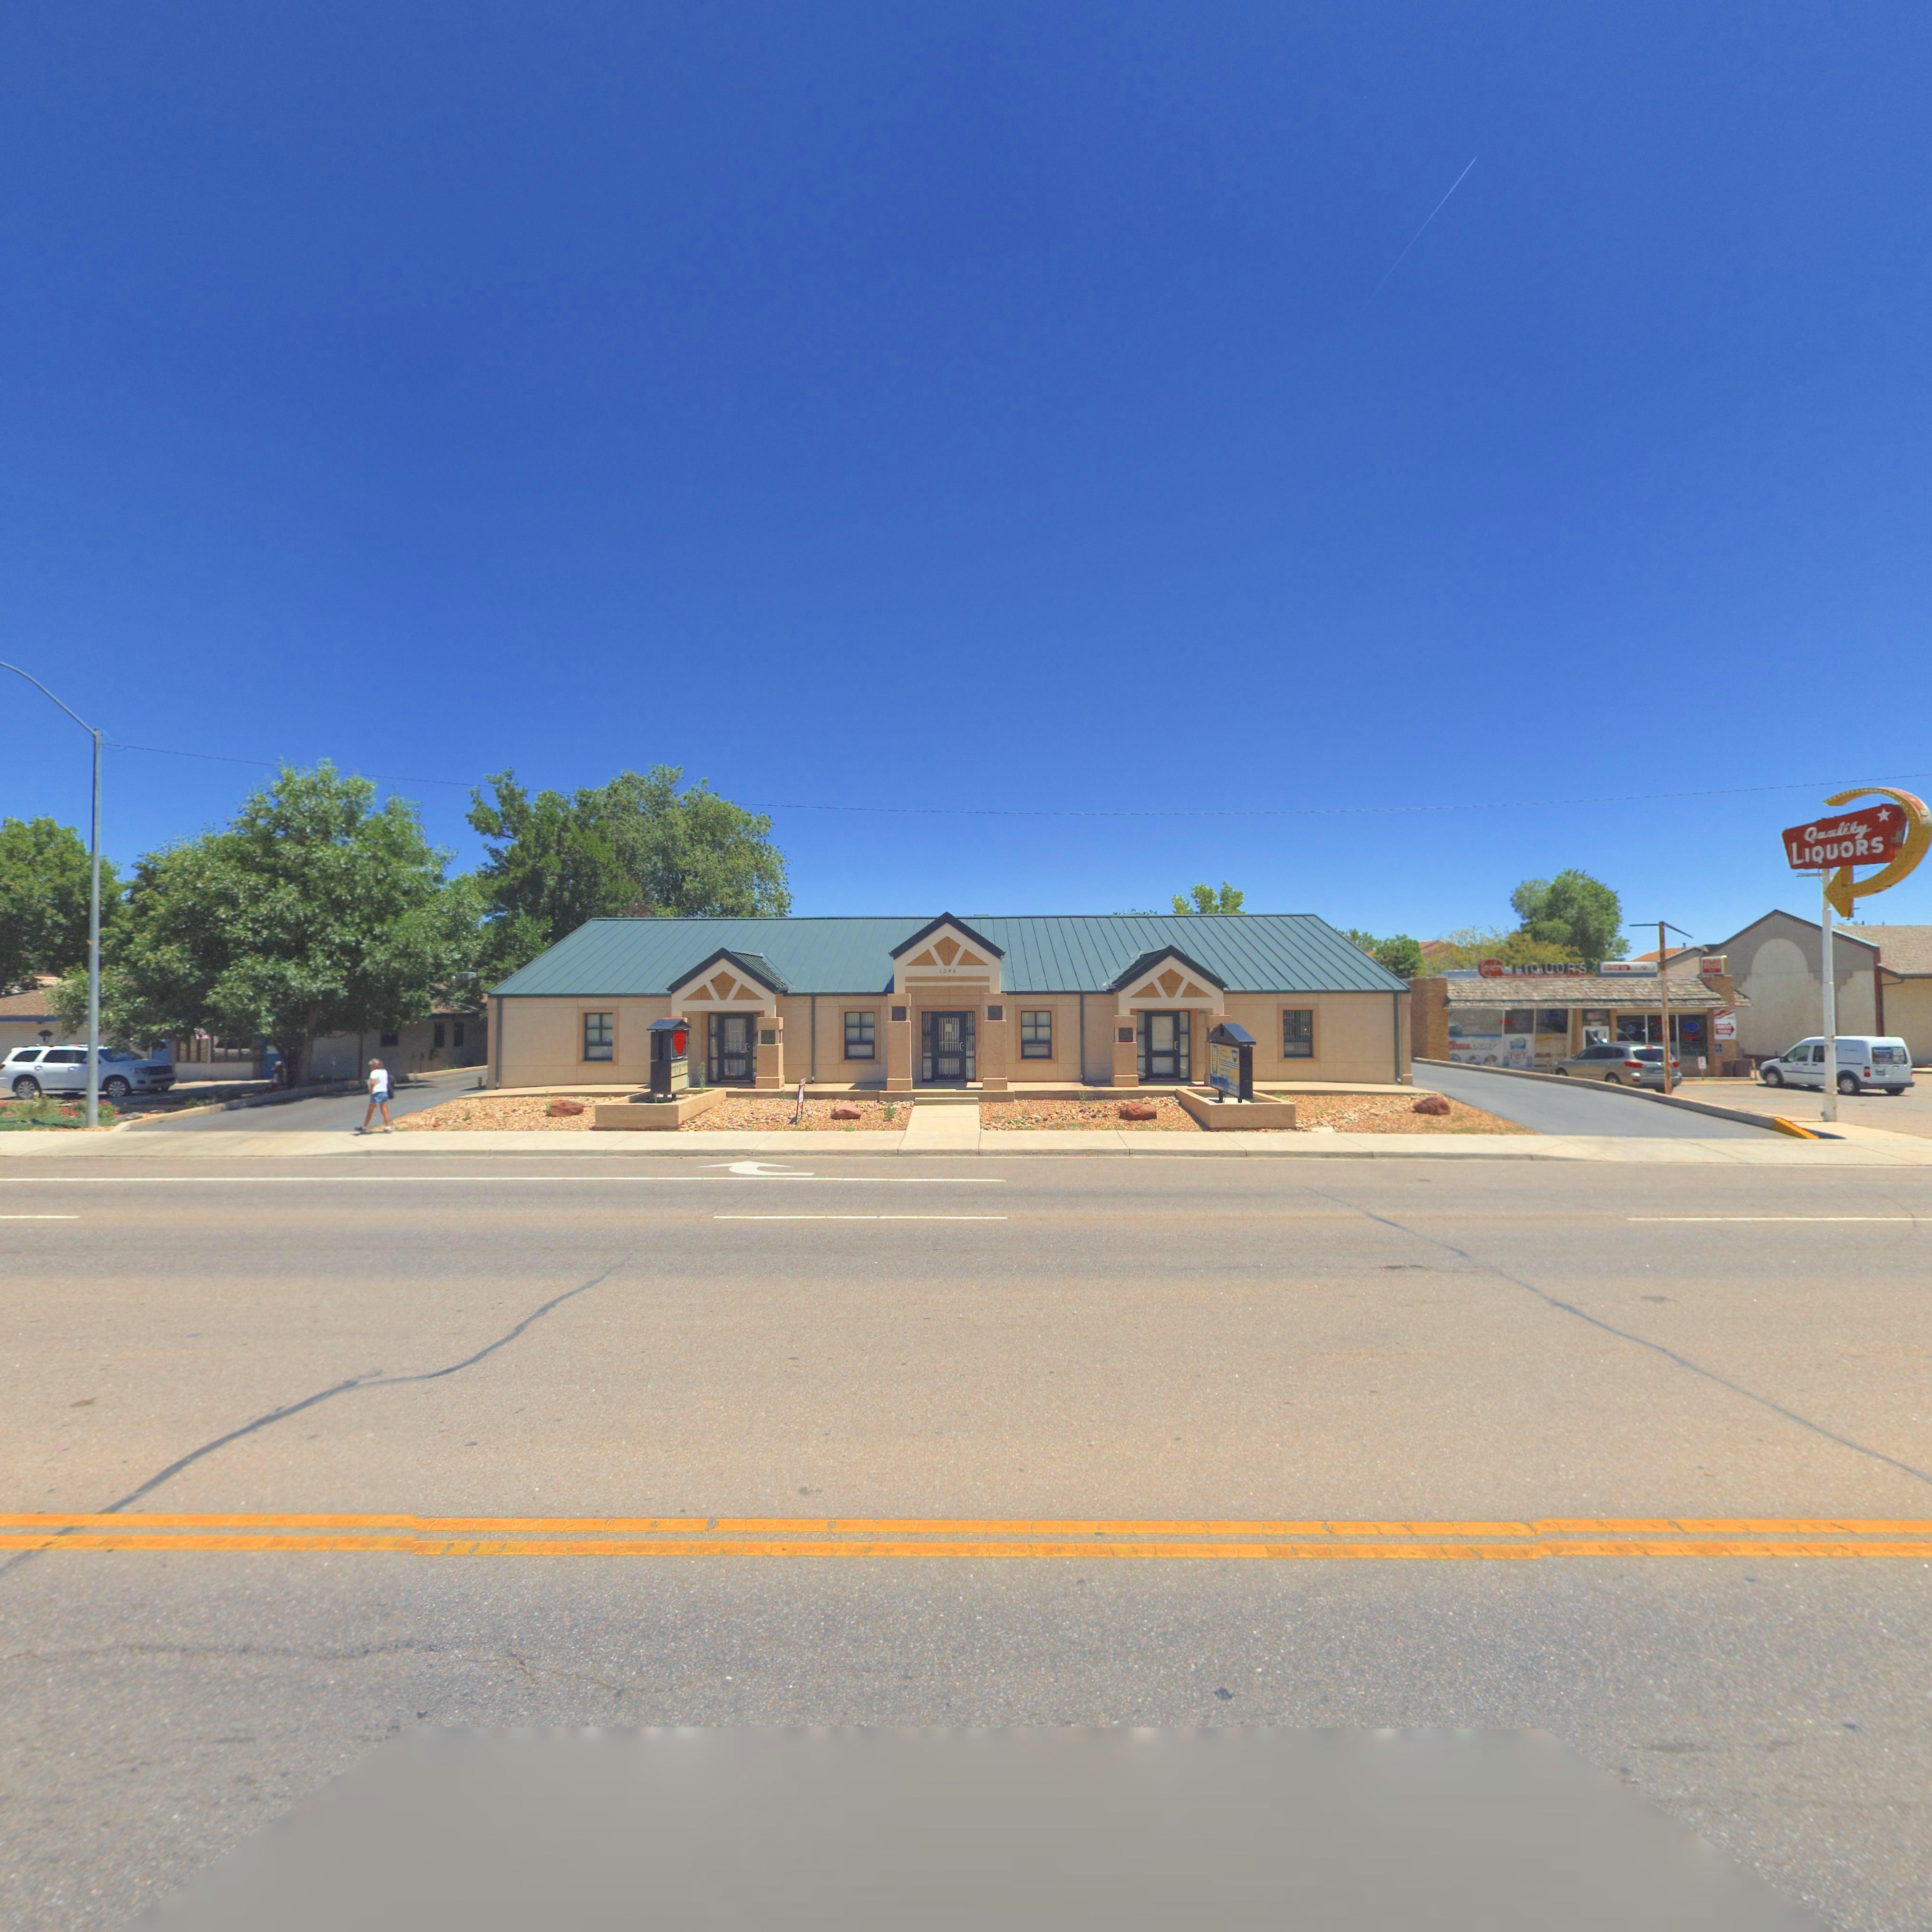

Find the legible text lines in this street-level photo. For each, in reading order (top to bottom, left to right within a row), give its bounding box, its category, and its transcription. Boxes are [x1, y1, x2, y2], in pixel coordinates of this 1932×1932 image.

[1802, 820, 1867, 844] BusinessName: Quality
[1790, 835, 1884, 865] BusinessName: LIQUORS
[940, 968, 956, 973] StreetNumber: 1246
[1514, 962, 1587, 974] BusinessName: LIQUORS